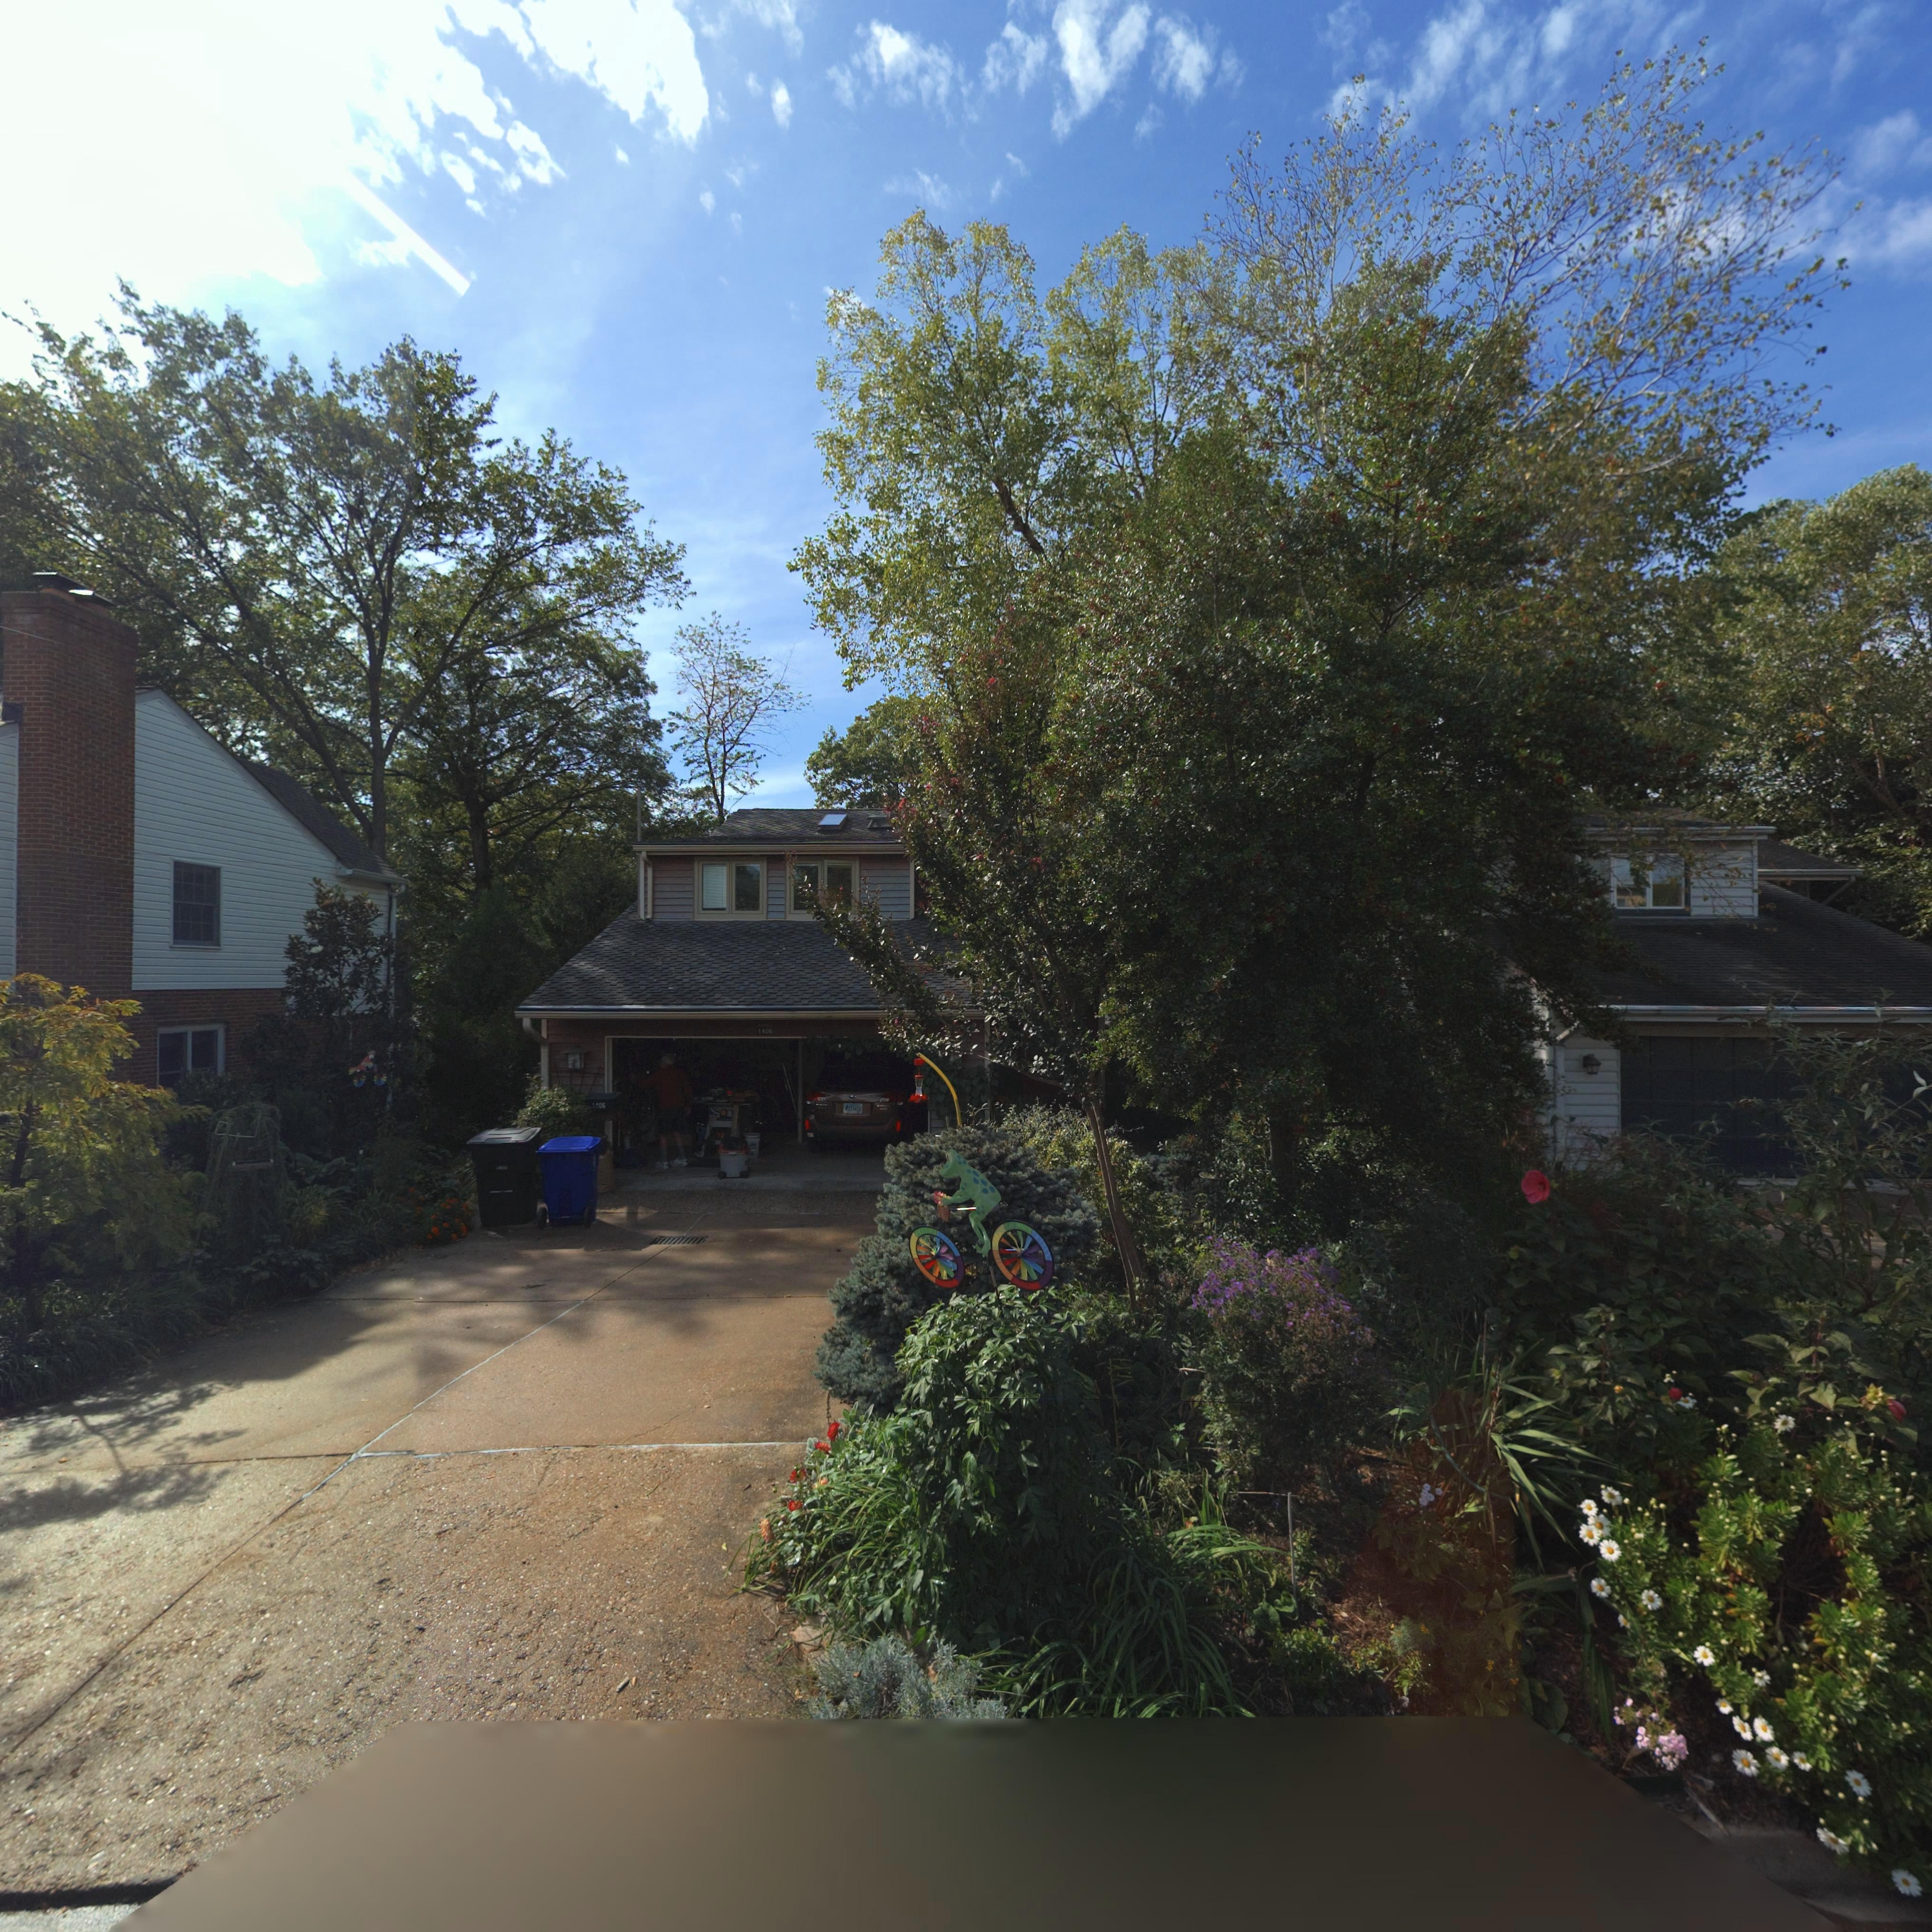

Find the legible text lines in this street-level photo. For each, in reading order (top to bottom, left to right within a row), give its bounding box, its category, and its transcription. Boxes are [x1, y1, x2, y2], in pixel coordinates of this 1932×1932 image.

[757, 1027, 773, 1035] None: 1406
[598, 1101, 607, 1110] StreetNumber: 06
[847, 1105, 857, 1112] None: 233